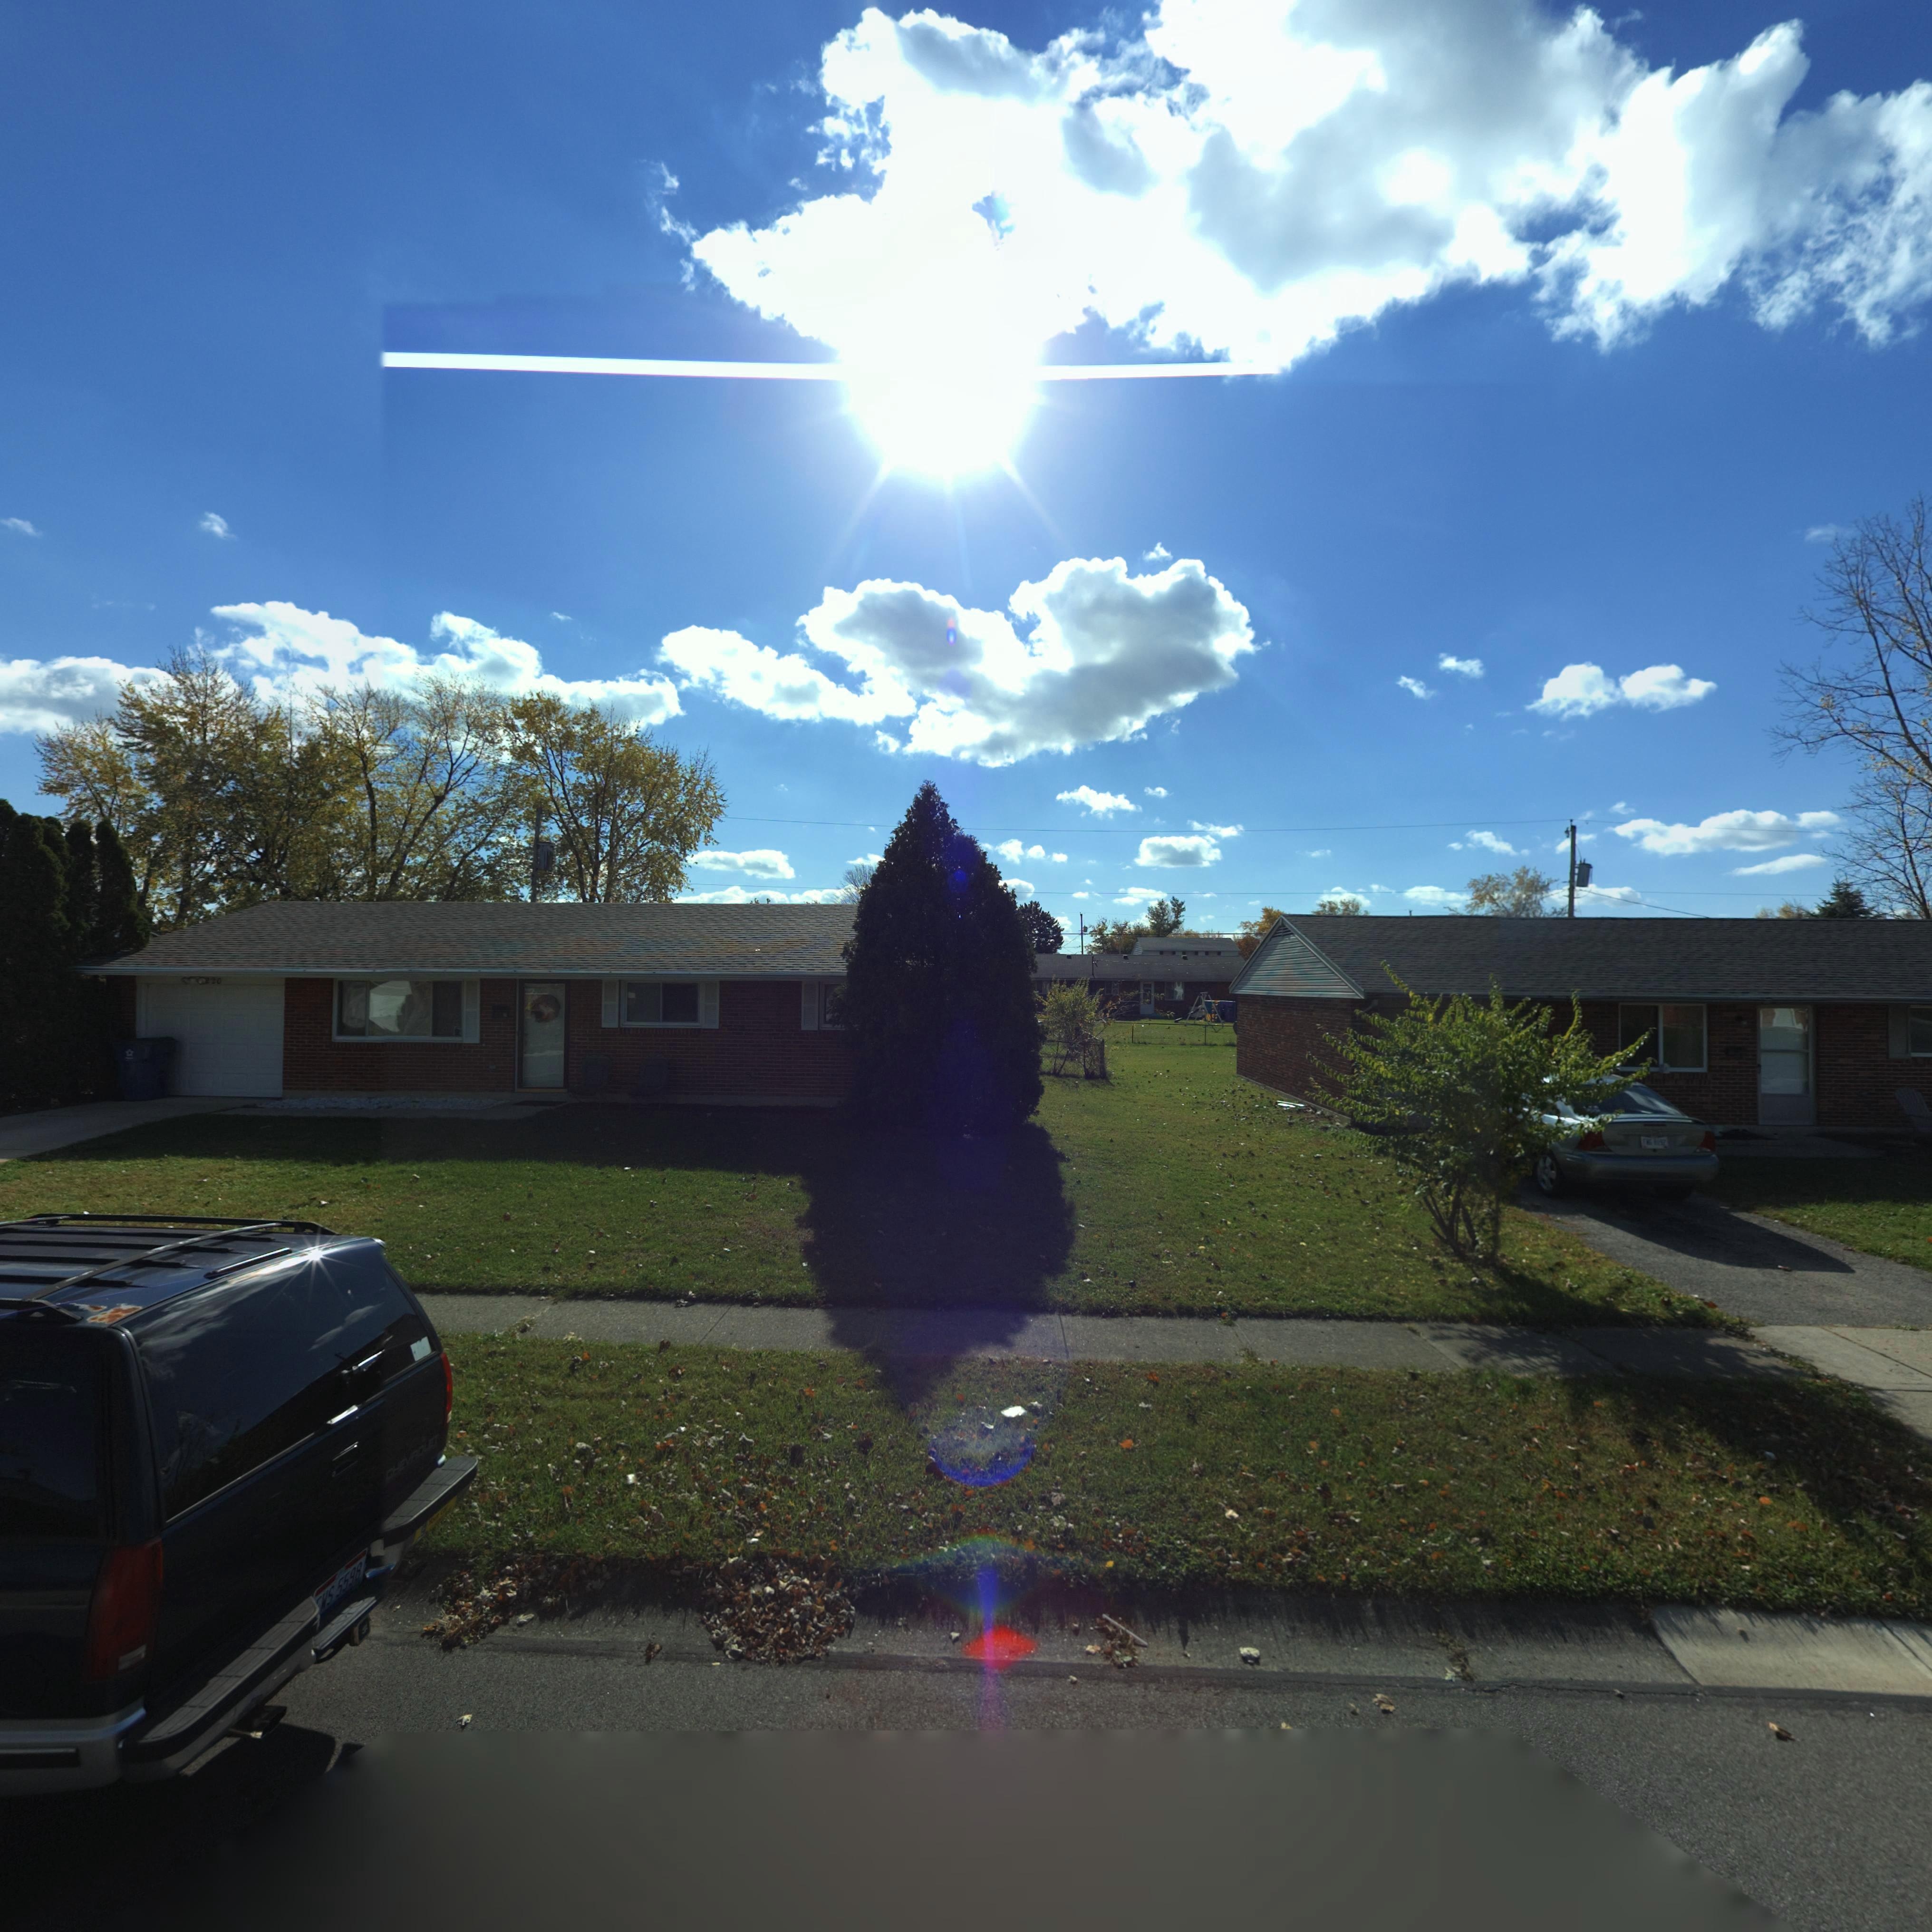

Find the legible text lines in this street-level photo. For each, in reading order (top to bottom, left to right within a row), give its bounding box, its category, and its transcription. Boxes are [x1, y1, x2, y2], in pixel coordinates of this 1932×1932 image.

[210, 976, 223, 985] StreetNumber: 20